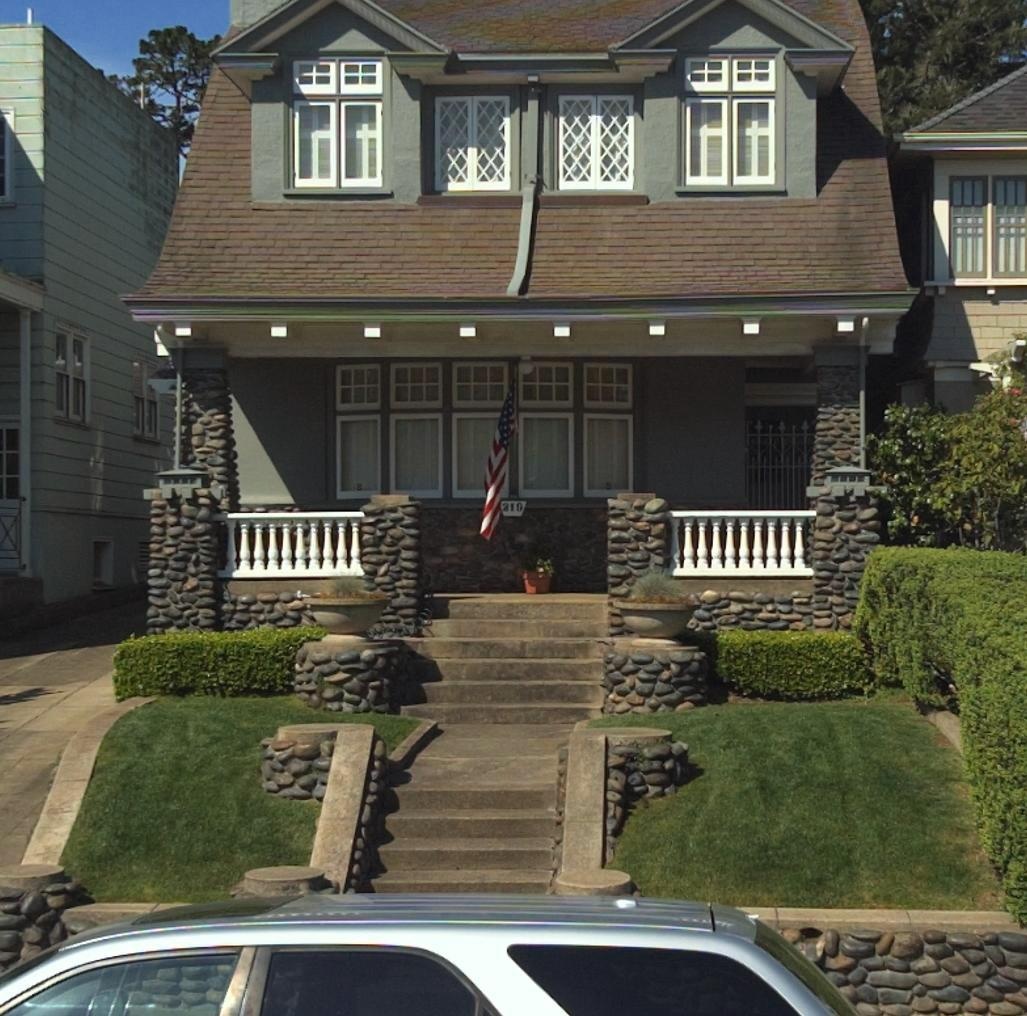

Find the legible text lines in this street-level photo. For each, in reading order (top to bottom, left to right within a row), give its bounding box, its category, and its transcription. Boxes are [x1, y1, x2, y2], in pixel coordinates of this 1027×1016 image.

[500, 500, 525, 513] StreetNumber: 210